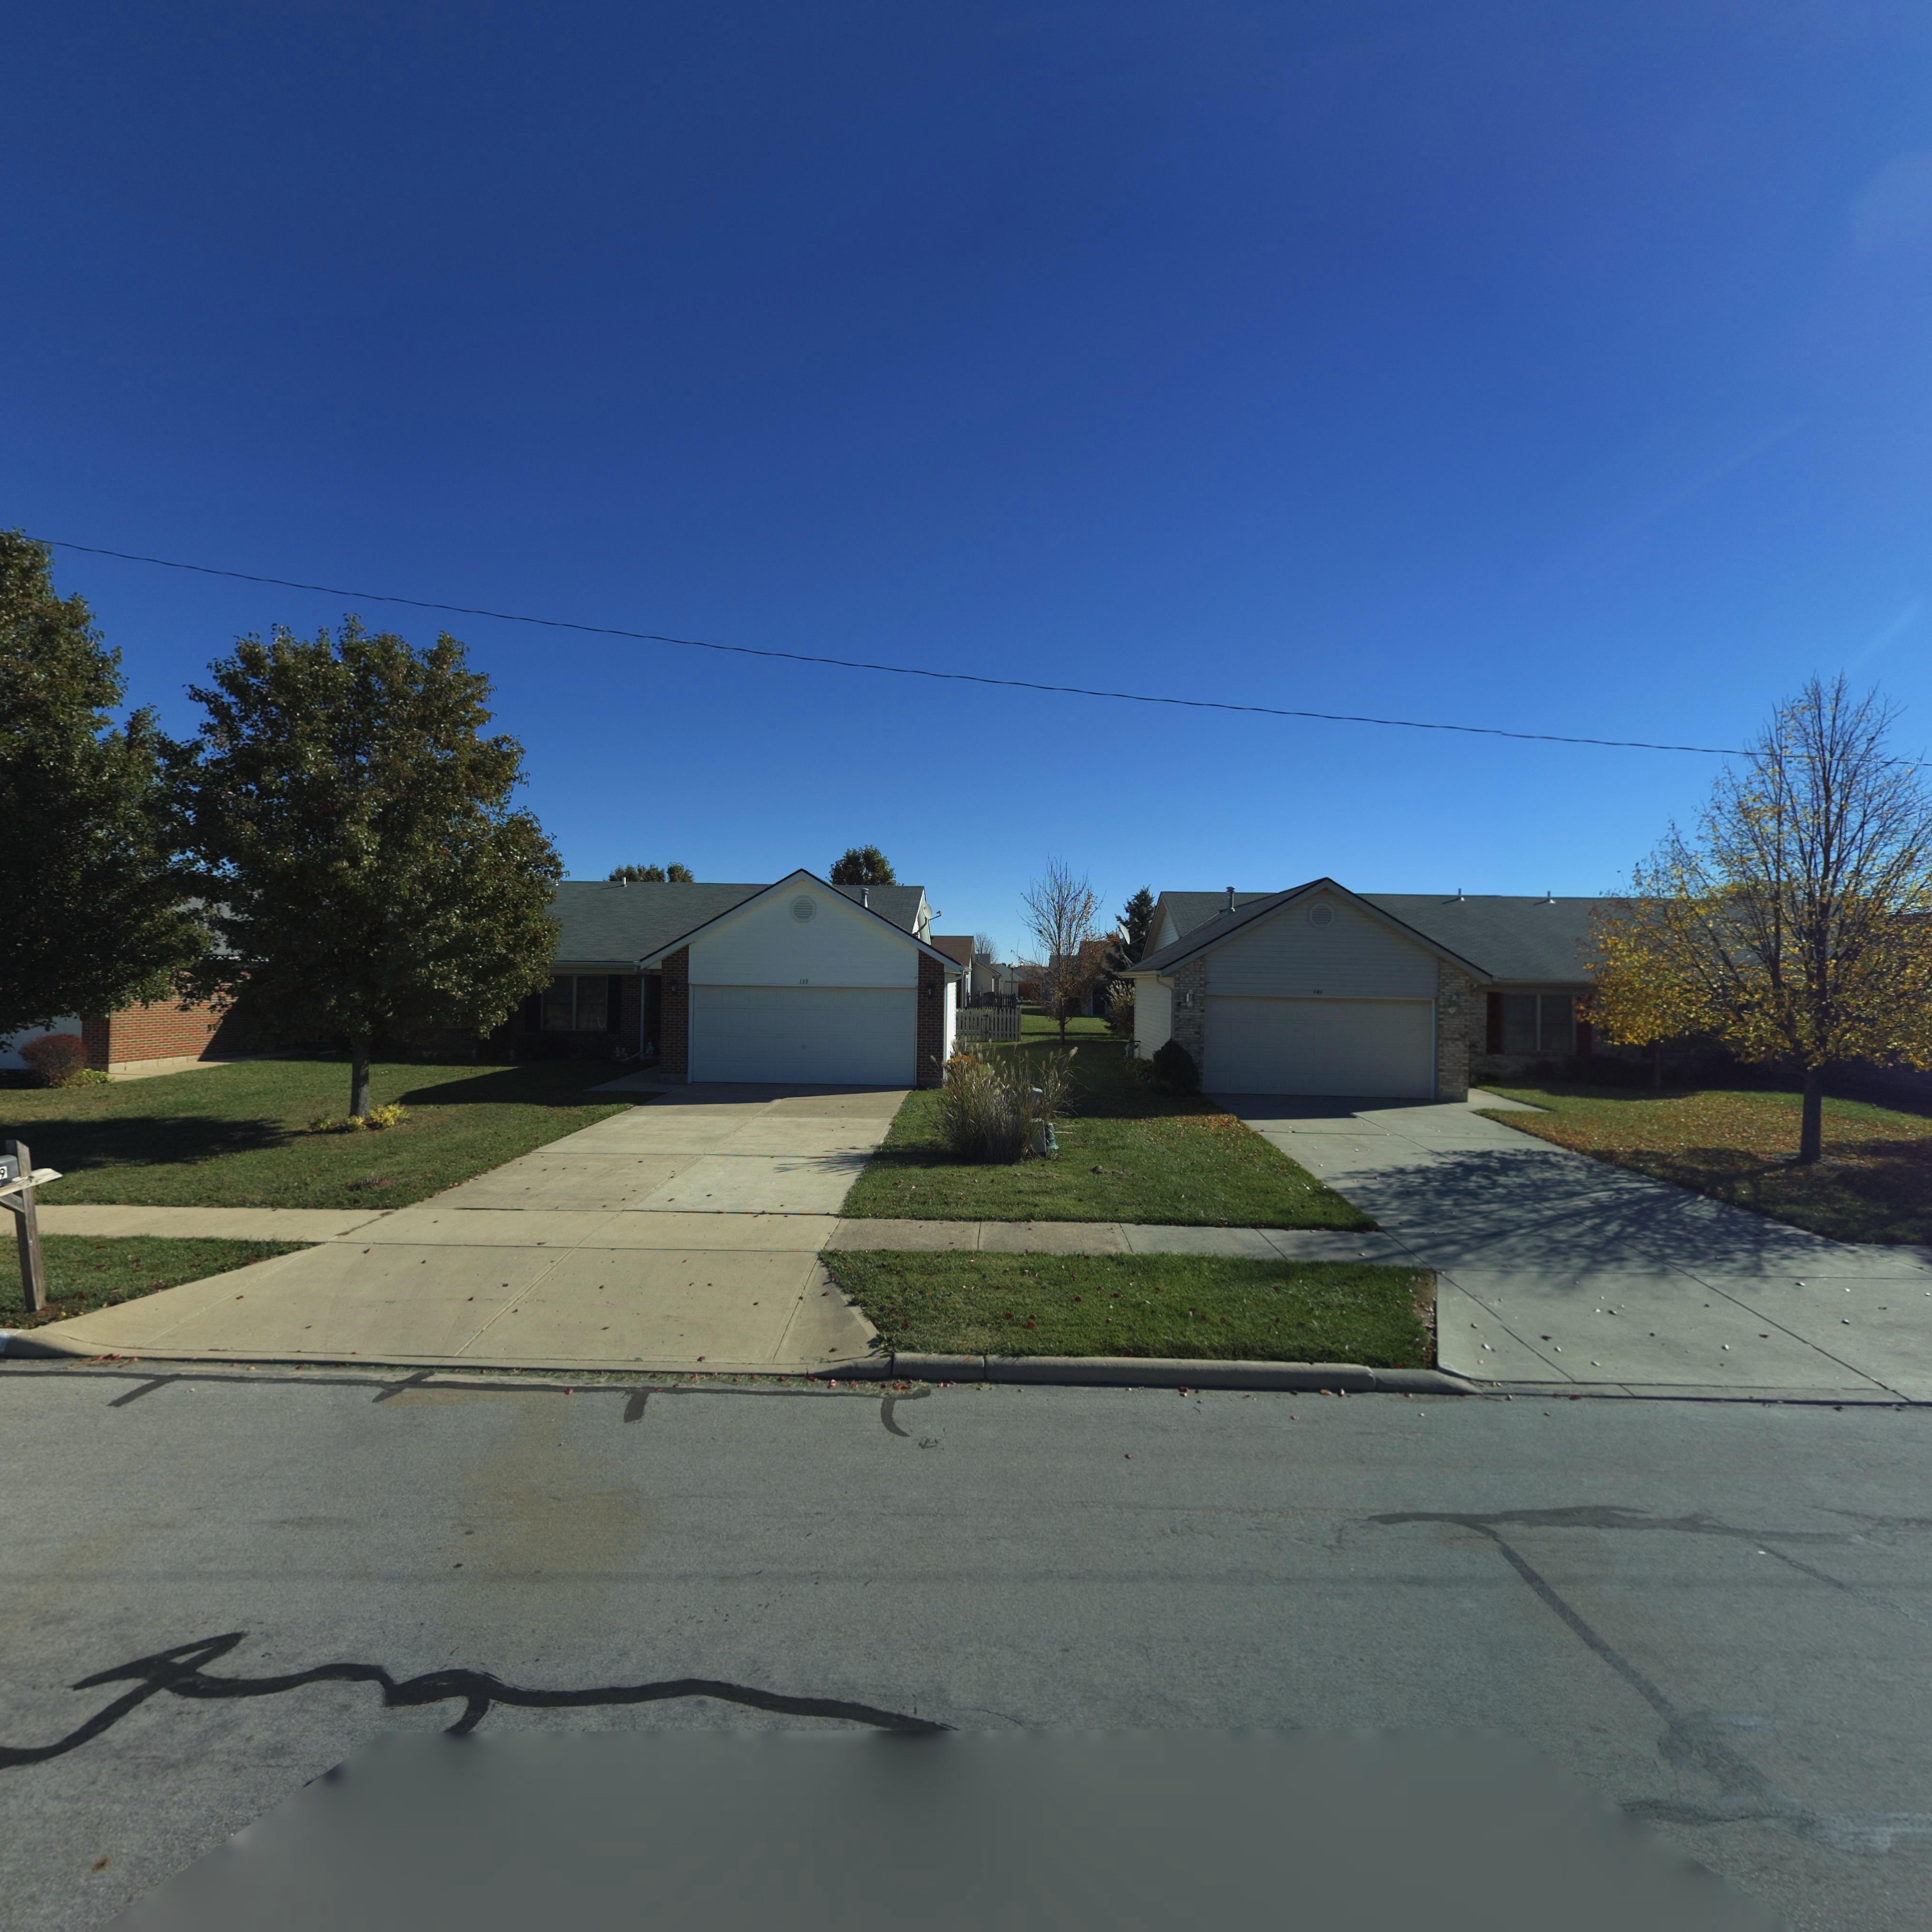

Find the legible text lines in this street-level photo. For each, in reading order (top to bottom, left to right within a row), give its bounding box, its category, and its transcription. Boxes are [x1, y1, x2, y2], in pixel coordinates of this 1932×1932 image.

[799, 978, 809, 984] StreetNumber: 139
[1313, 989, 1324, 995] StreetNumber: 141
[0, 1168, 6, 1178] StreetNumber: 9